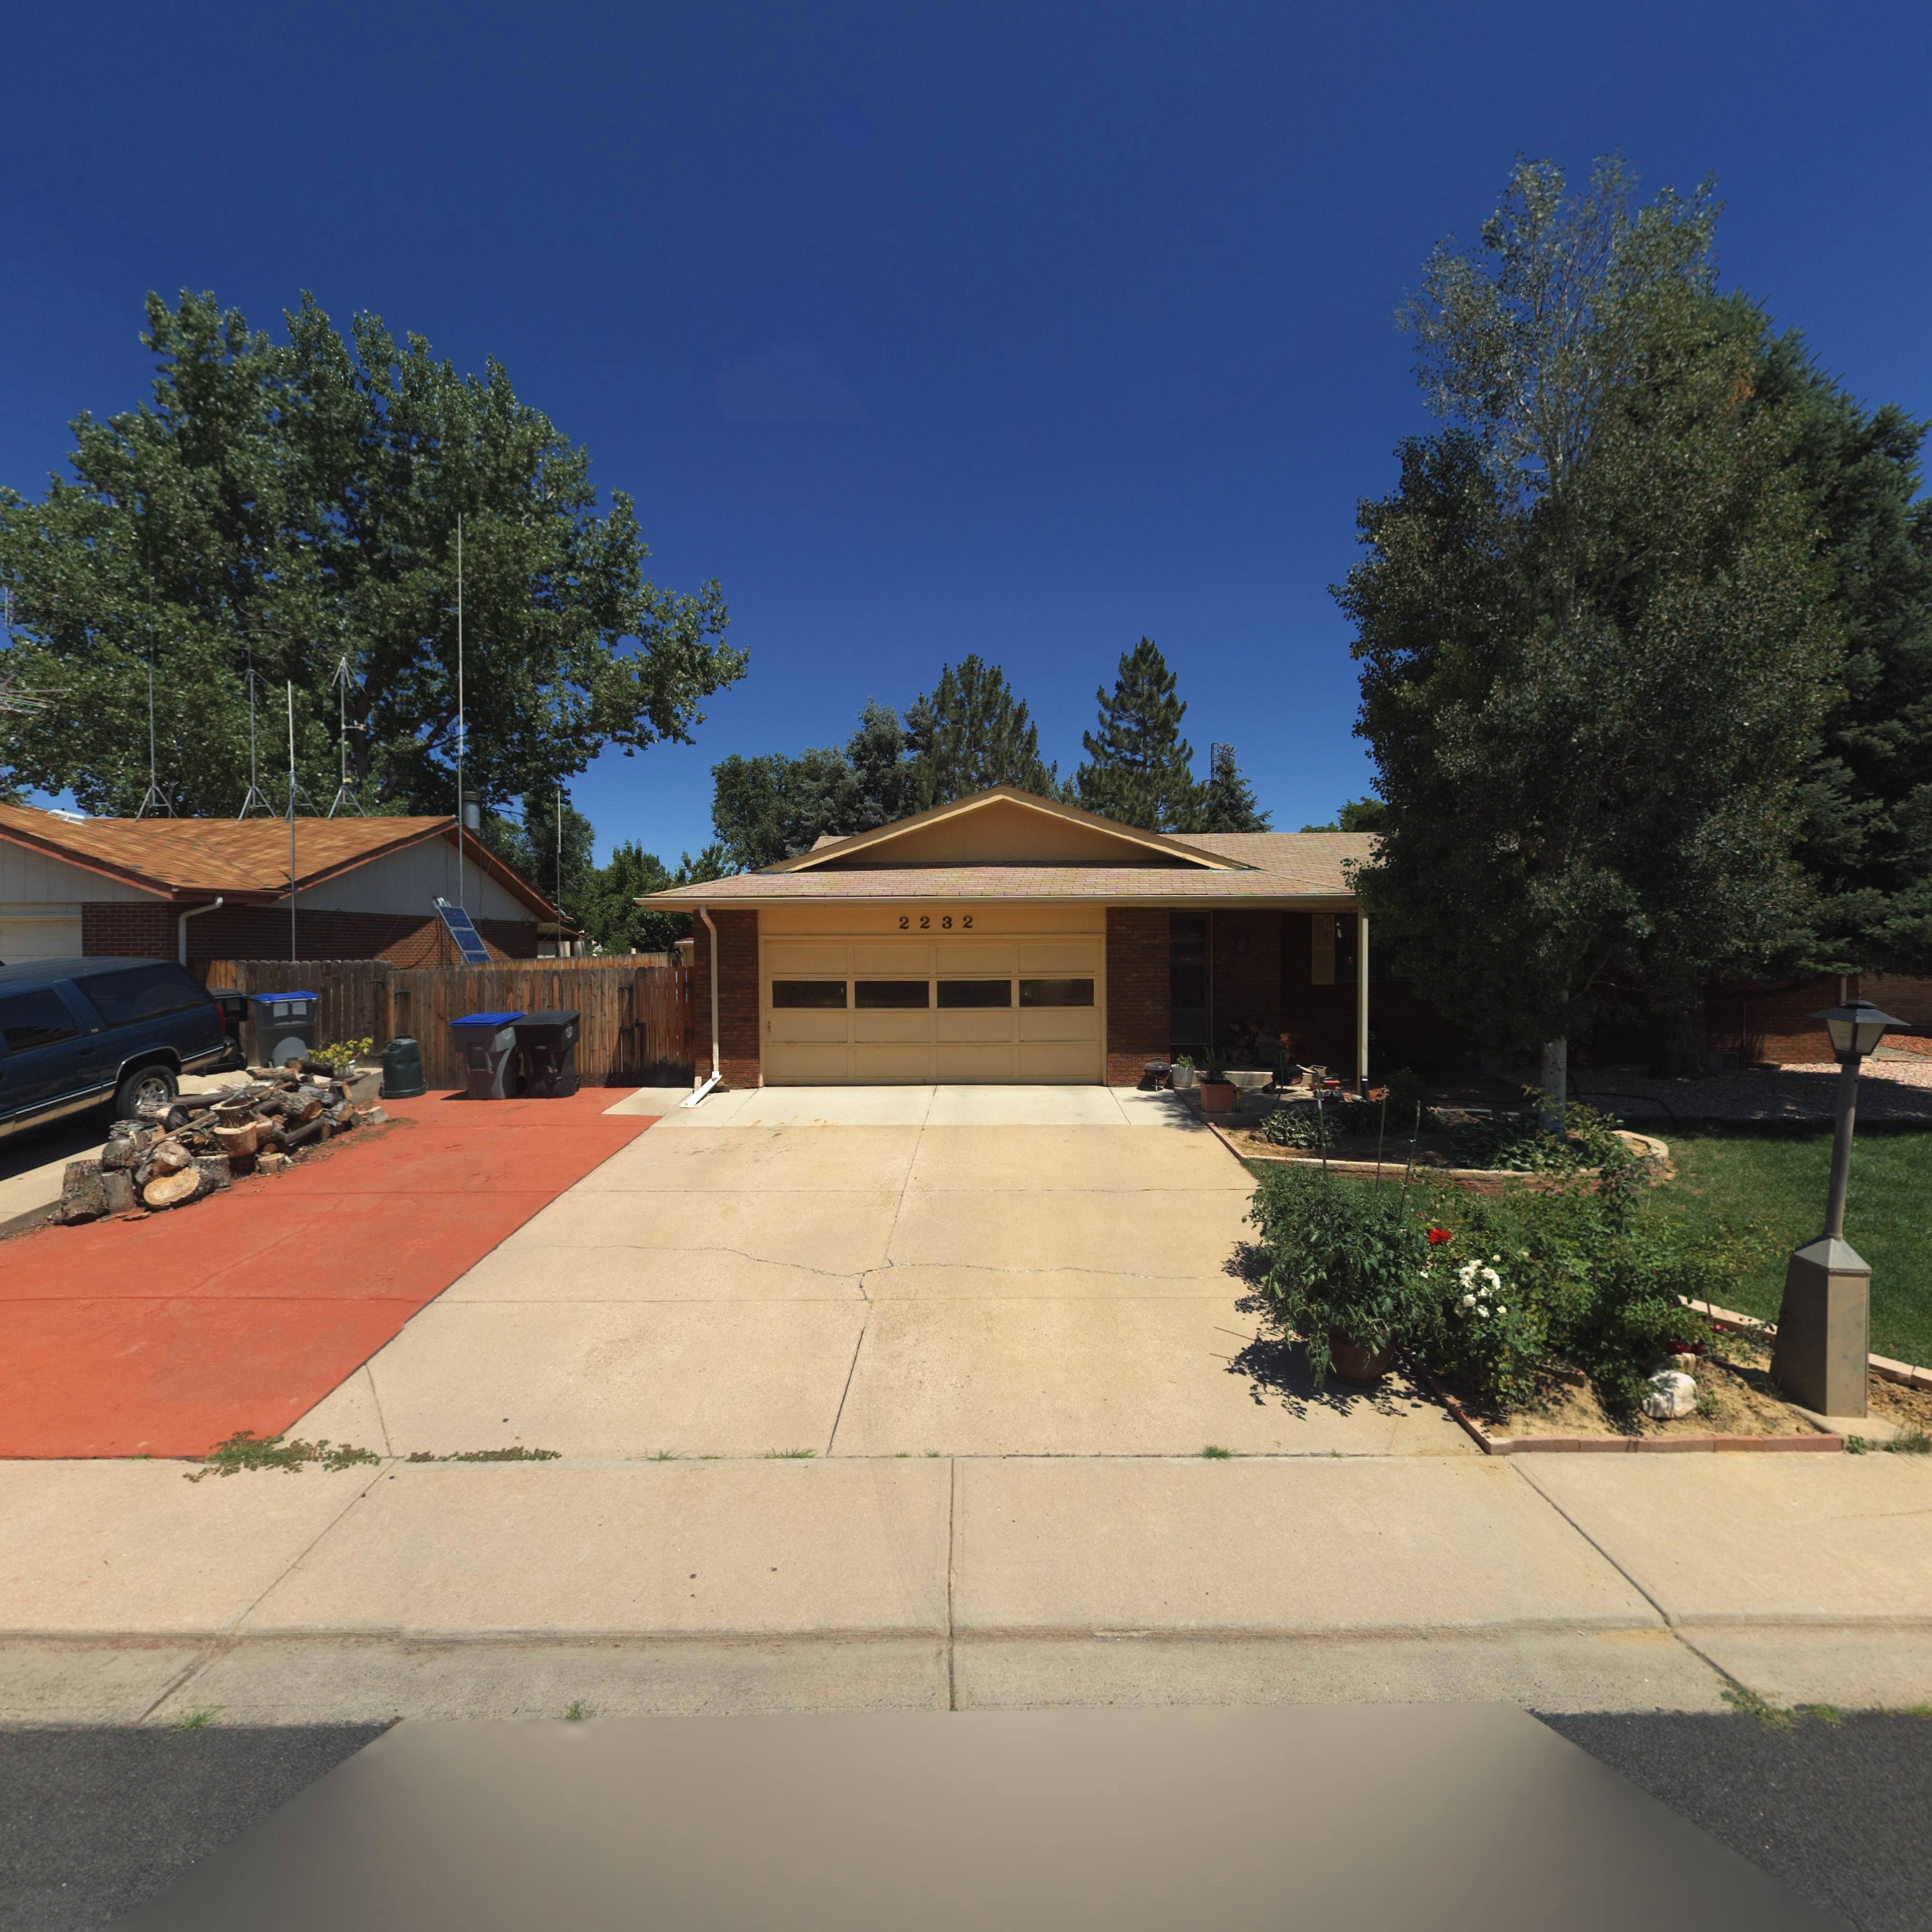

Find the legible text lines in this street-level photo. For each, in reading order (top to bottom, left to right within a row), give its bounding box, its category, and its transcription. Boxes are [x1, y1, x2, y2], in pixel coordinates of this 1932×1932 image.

[898, 916, 973, 929] StreetNumber: 2232